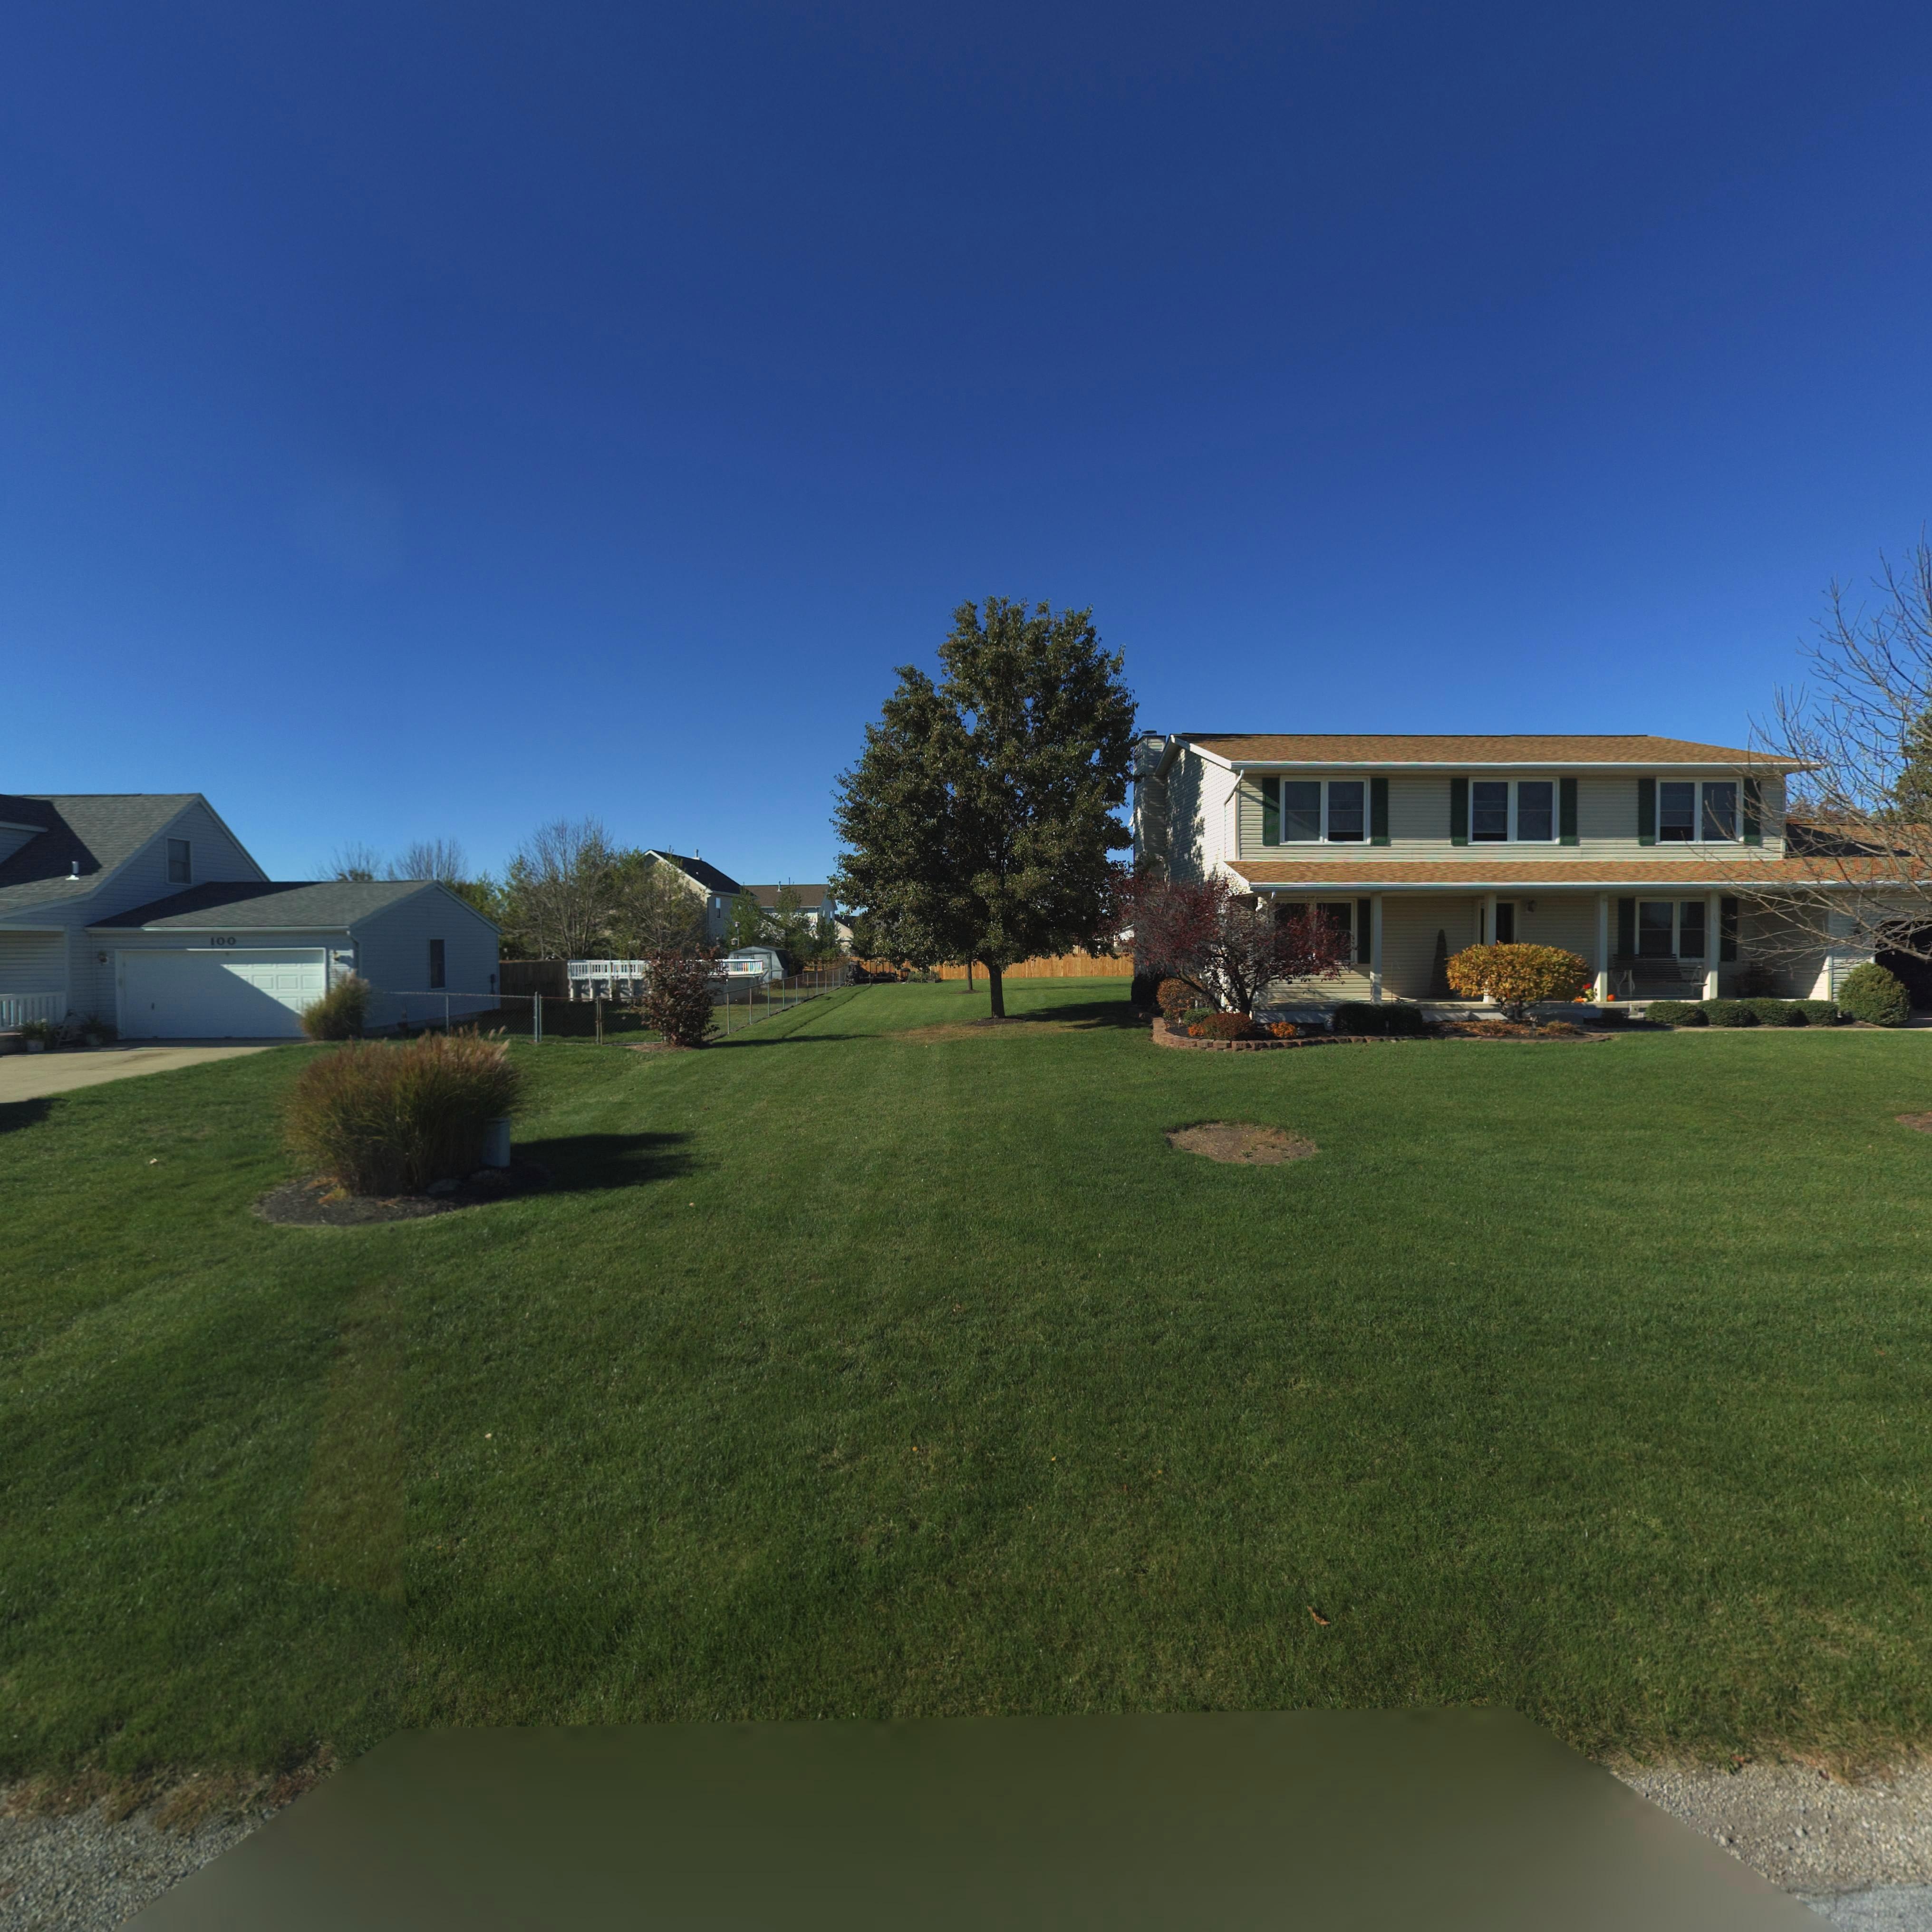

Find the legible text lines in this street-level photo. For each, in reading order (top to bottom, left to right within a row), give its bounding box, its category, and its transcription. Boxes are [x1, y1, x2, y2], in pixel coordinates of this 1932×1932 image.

[209, 936, 236, 947] StreetNumber: 100